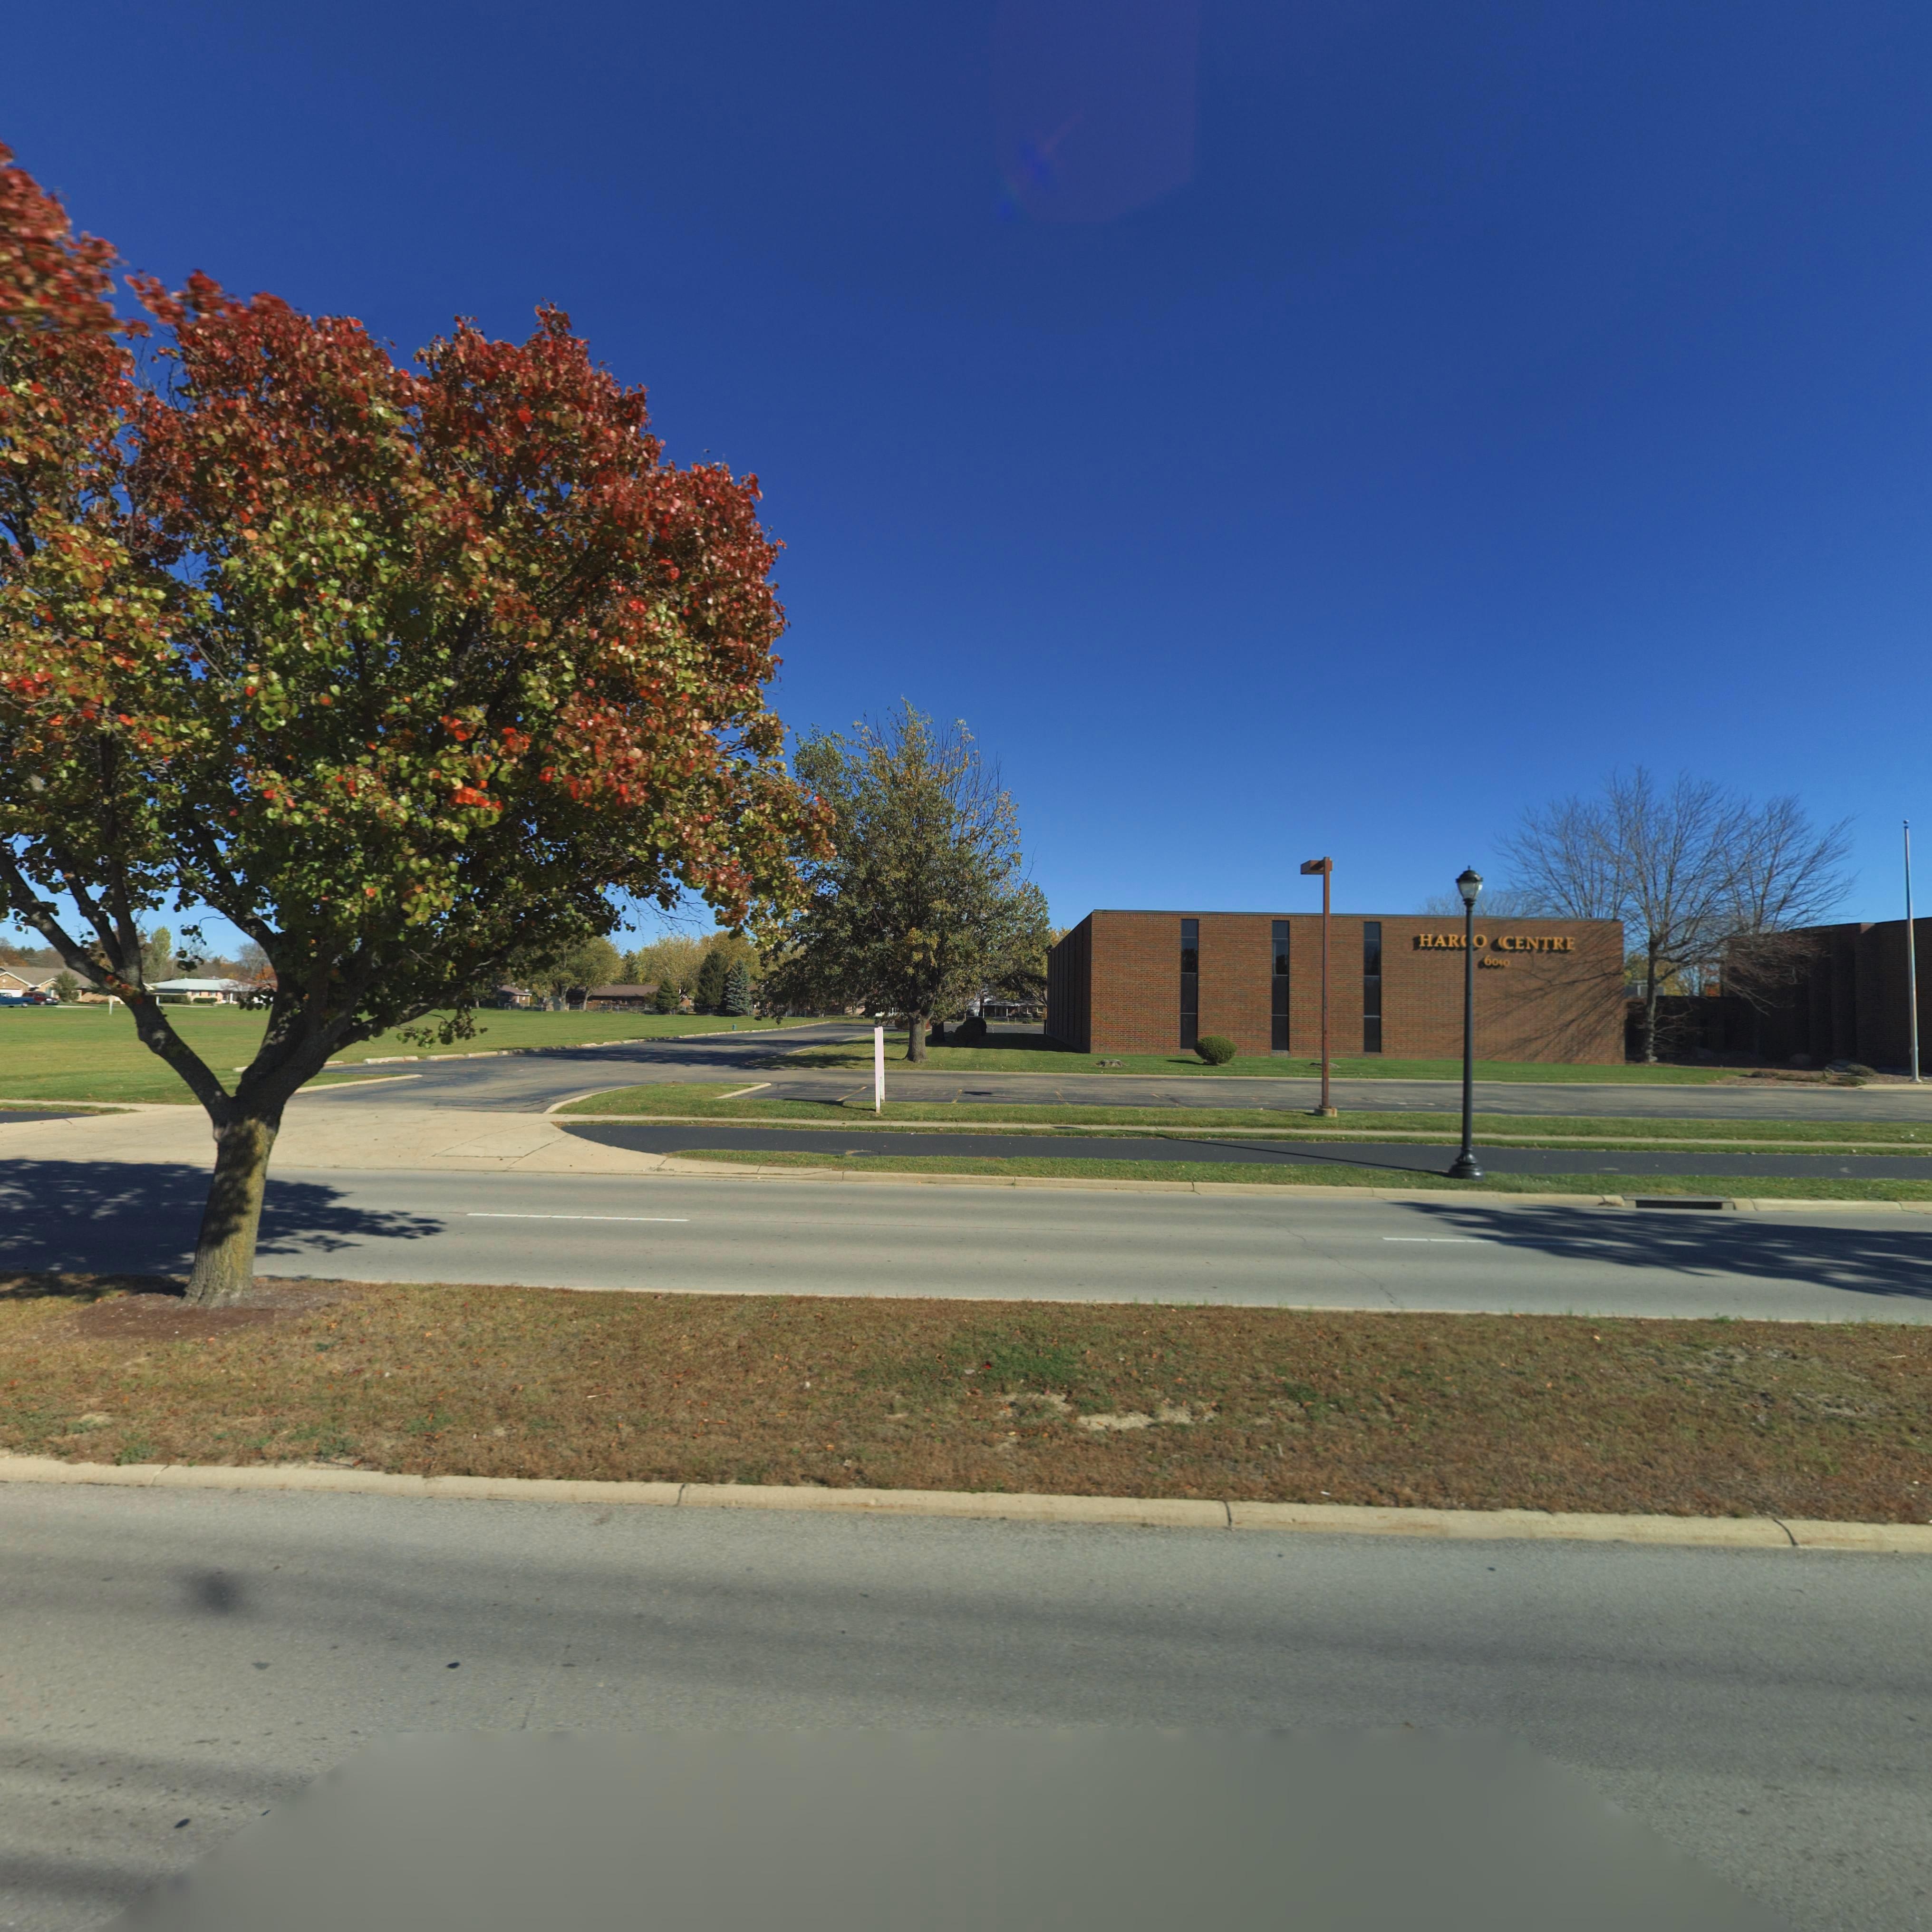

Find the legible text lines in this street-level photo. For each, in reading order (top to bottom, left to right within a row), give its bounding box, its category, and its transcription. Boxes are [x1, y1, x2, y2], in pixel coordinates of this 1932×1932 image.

[1418, 933, 1577, 952] BusinessName: HAR*O *CENTRE
[1483, 954, 1511, 967] StreetNumber: 60*0